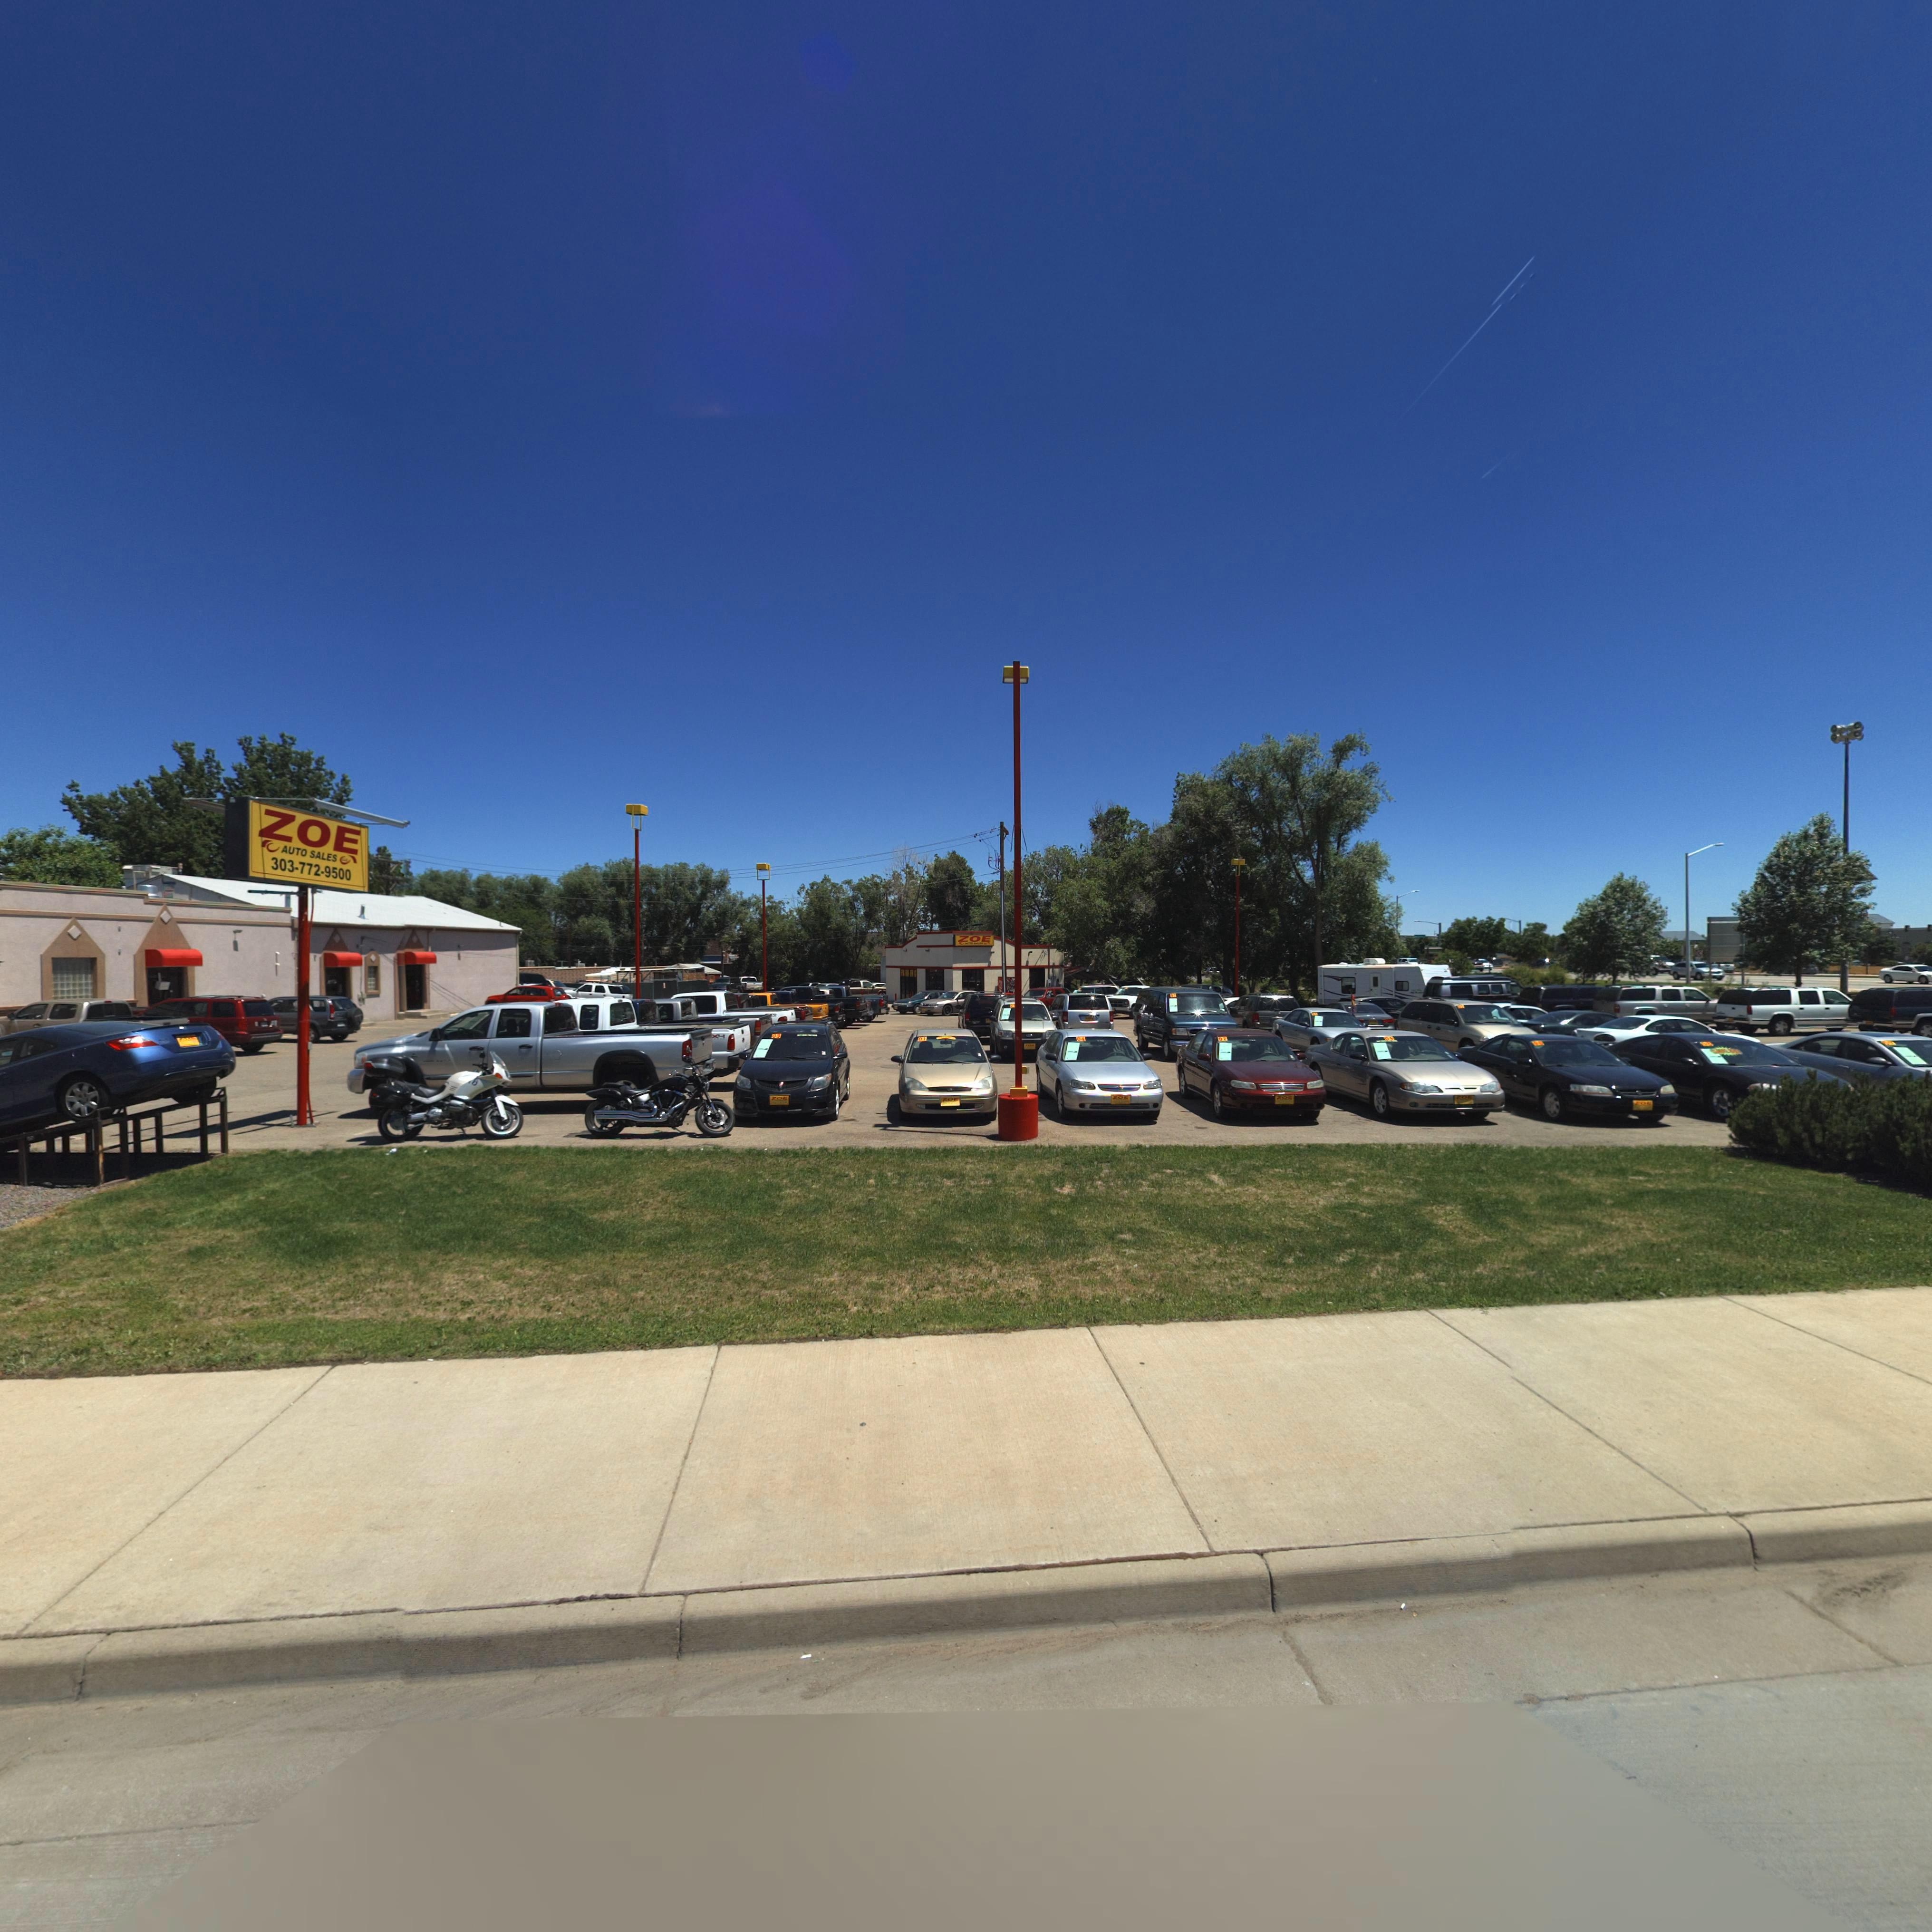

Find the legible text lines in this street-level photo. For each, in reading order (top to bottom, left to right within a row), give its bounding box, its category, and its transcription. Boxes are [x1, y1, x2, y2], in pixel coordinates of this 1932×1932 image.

[256, 807, 362, 856] BusinessName: ZOE
[280, 844, 338, 862] BusinessName: AUTO SALES
[957, 935, 991, 942] BusinessName: ZOE
[965, 942, 983, 944] BusinessName: A*TO SALE*